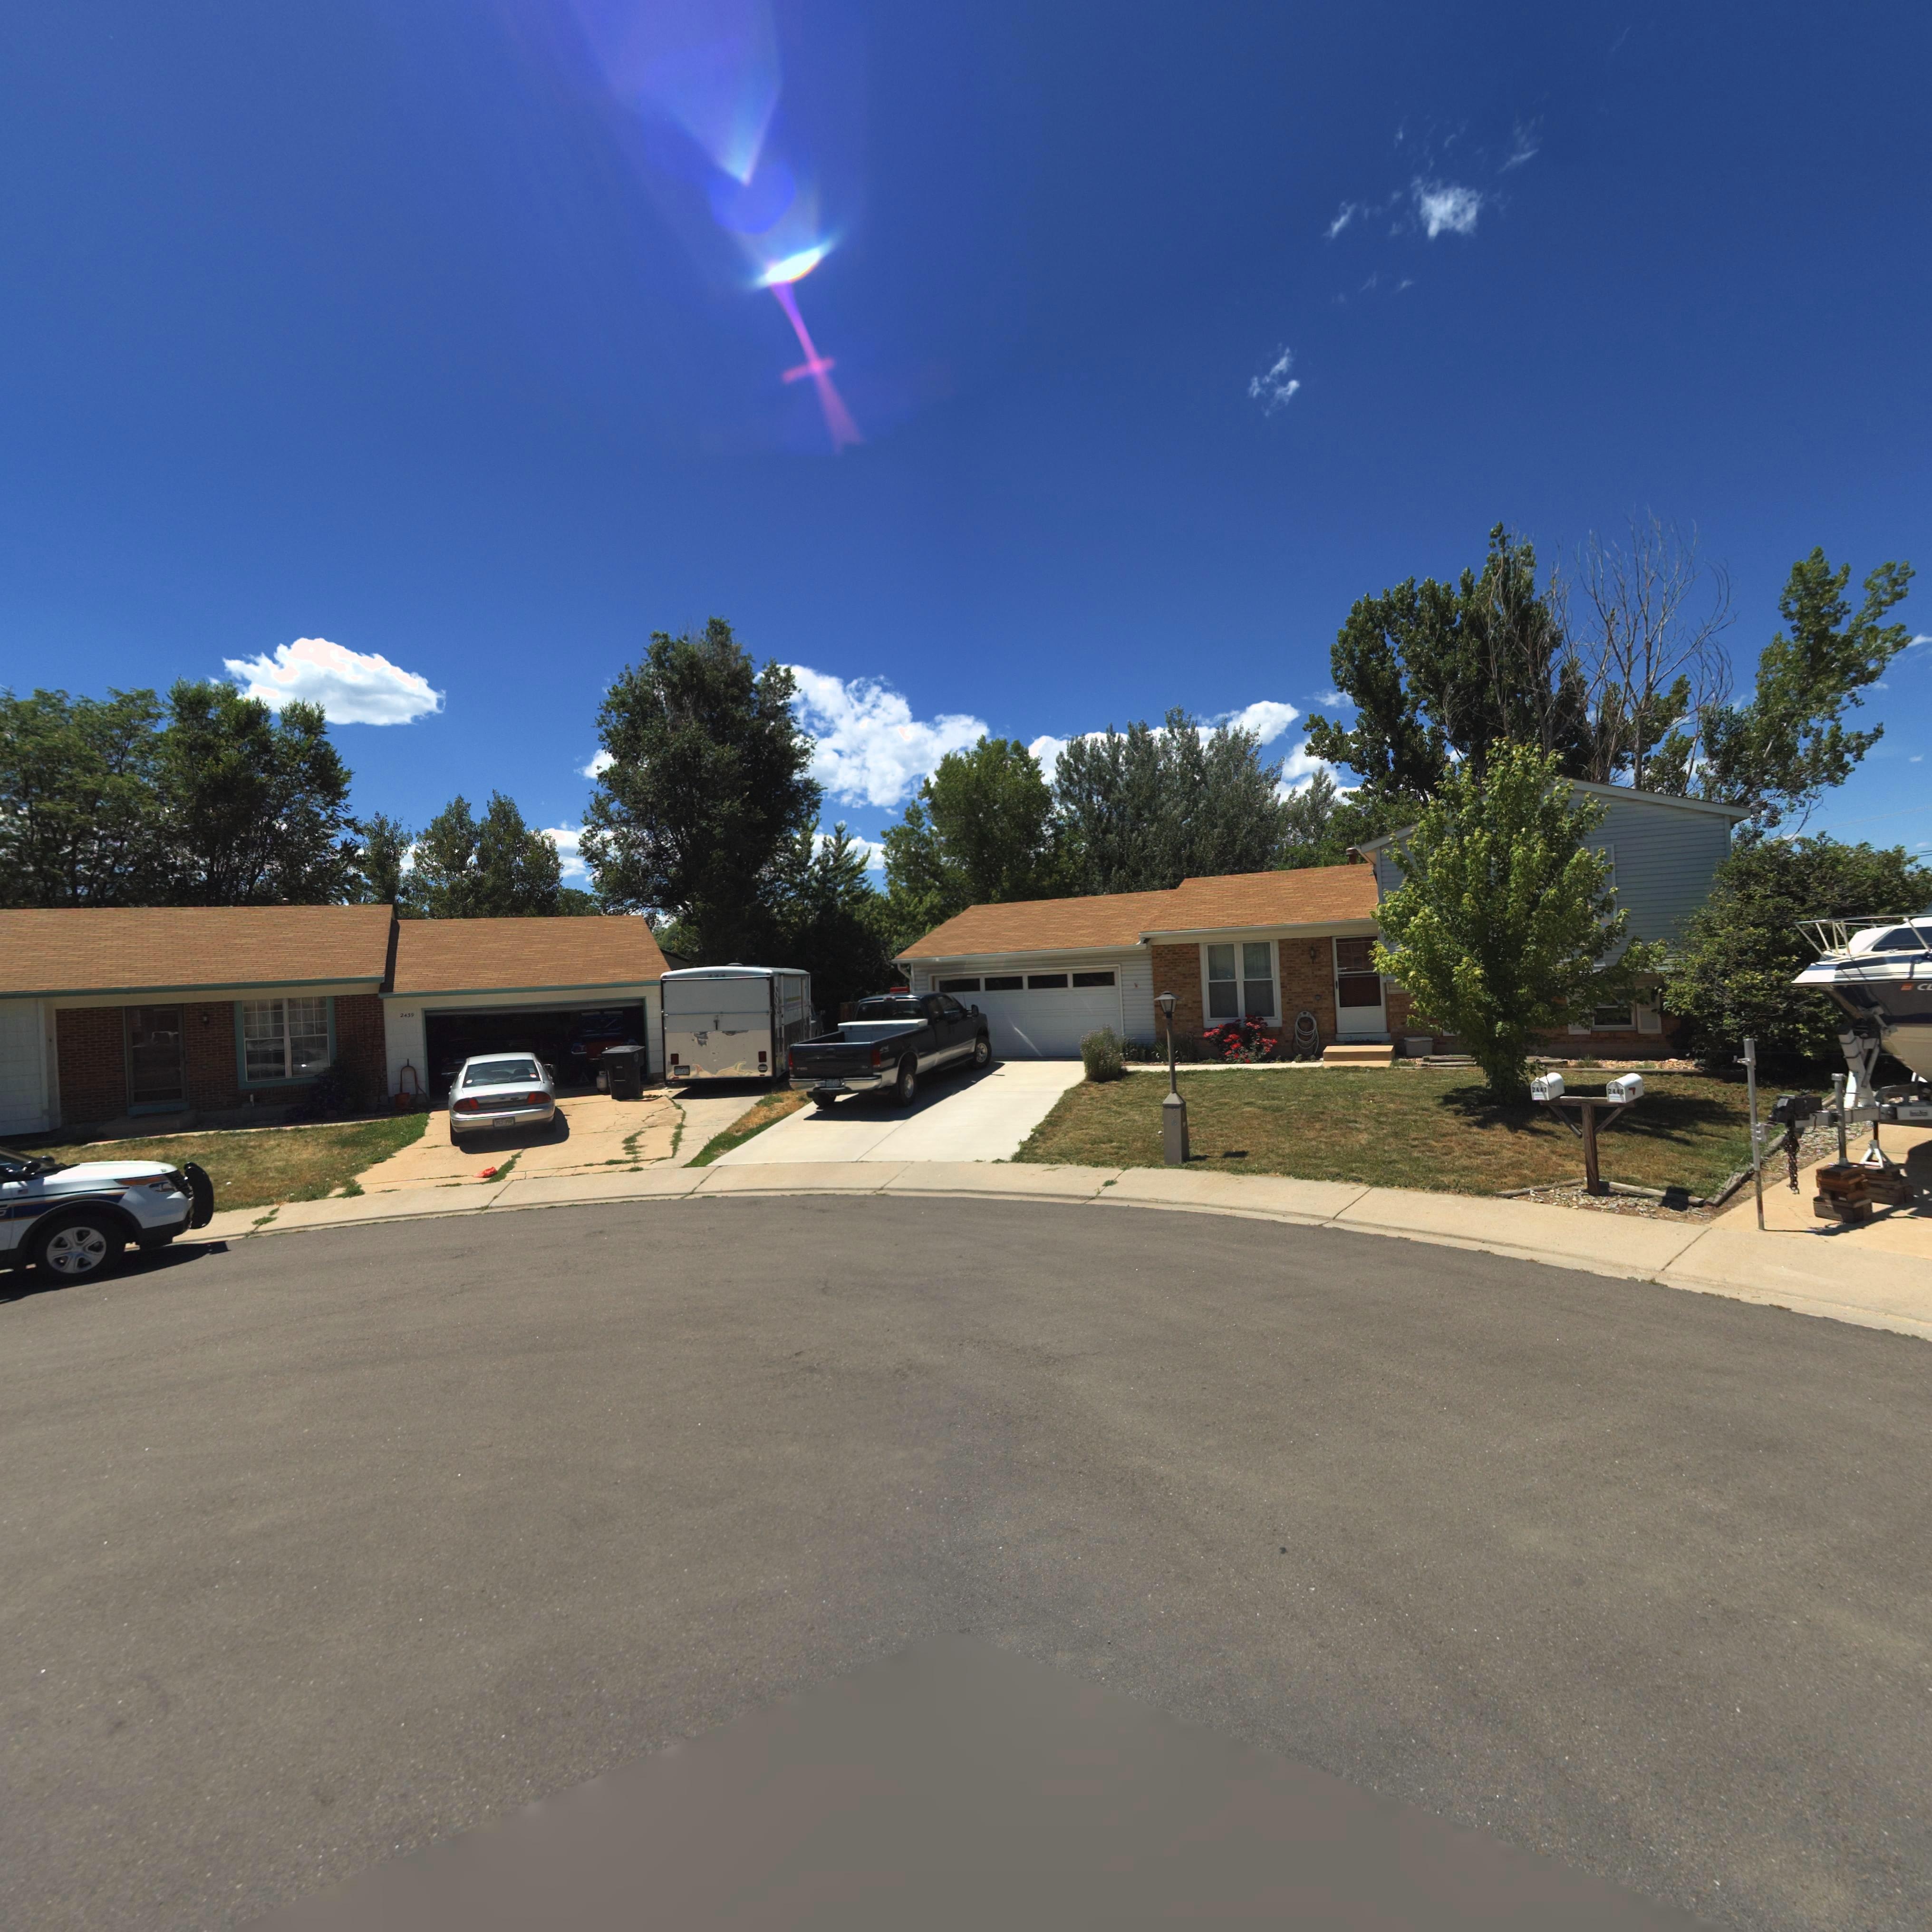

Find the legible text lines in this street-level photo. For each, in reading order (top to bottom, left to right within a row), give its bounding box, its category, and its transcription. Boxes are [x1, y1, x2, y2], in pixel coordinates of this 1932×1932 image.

[399, 1012, 415, 1018] StreetNumber: 2439
[1531, 1087, 1546, 1092] StreetNumber: 2447
[1608, 1088, 1623, 1094] StreetNumber: 2448